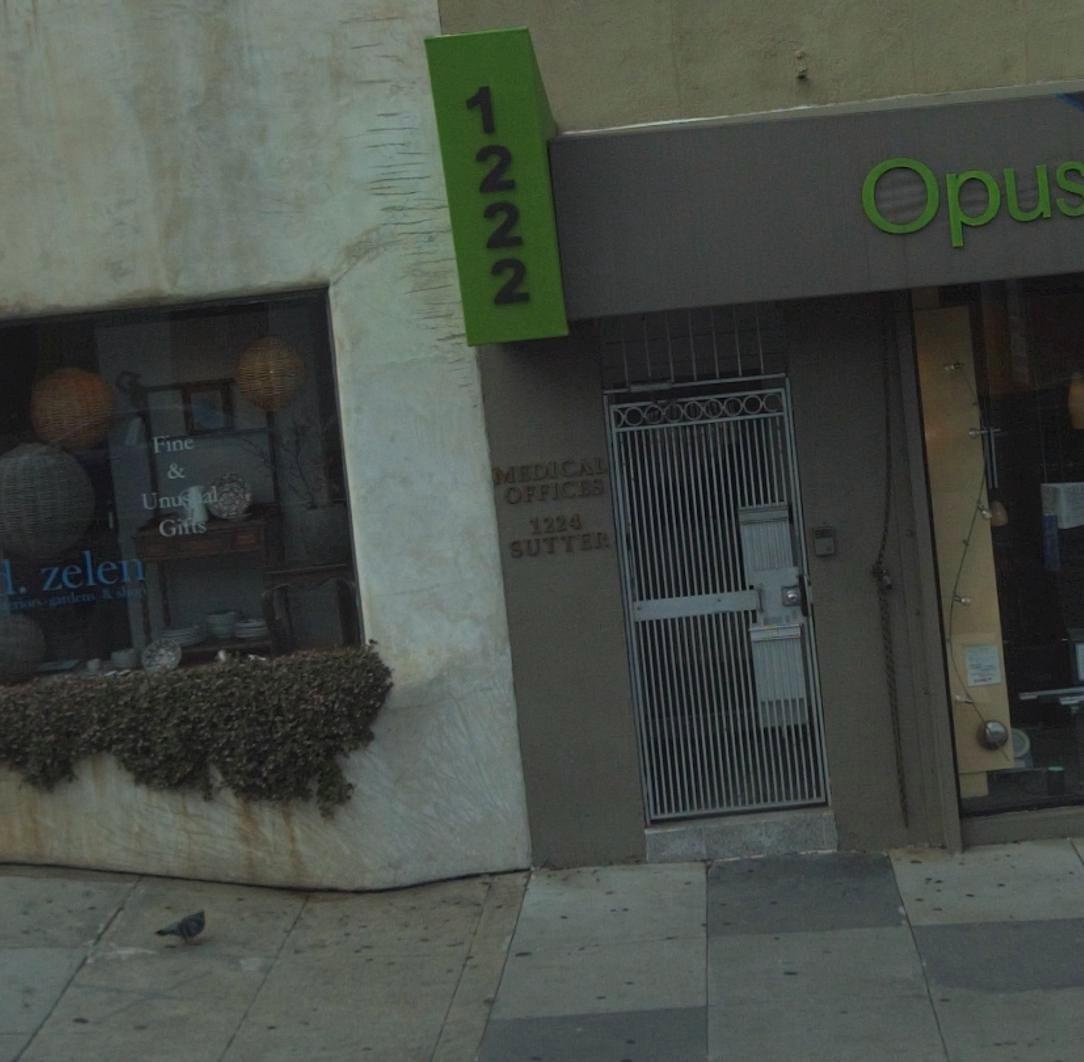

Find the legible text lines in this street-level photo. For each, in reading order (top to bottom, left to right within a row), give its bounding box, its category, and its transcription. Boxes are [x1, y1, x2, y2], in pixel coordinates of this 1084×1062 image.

[457, 77, 537, 313] StreetNumber: 1222
[854, 147, 1059, 255] BusinessName: Opu
[148, 431, 198, 457] None: Fine
[489, 452, 612, 489] None: MEDICAL
[136, 481, 222, 515] None: Unu**al
[500, 474, 609, 509] None: OFFICES
[156, 515, 210, 542] None: Gi**s
[526, 509, 585, 538] StreetNumber: 1224
[505, 527, 613, 563] StreetName: SUTTER
[36, 546, 153, 596] None: zelen